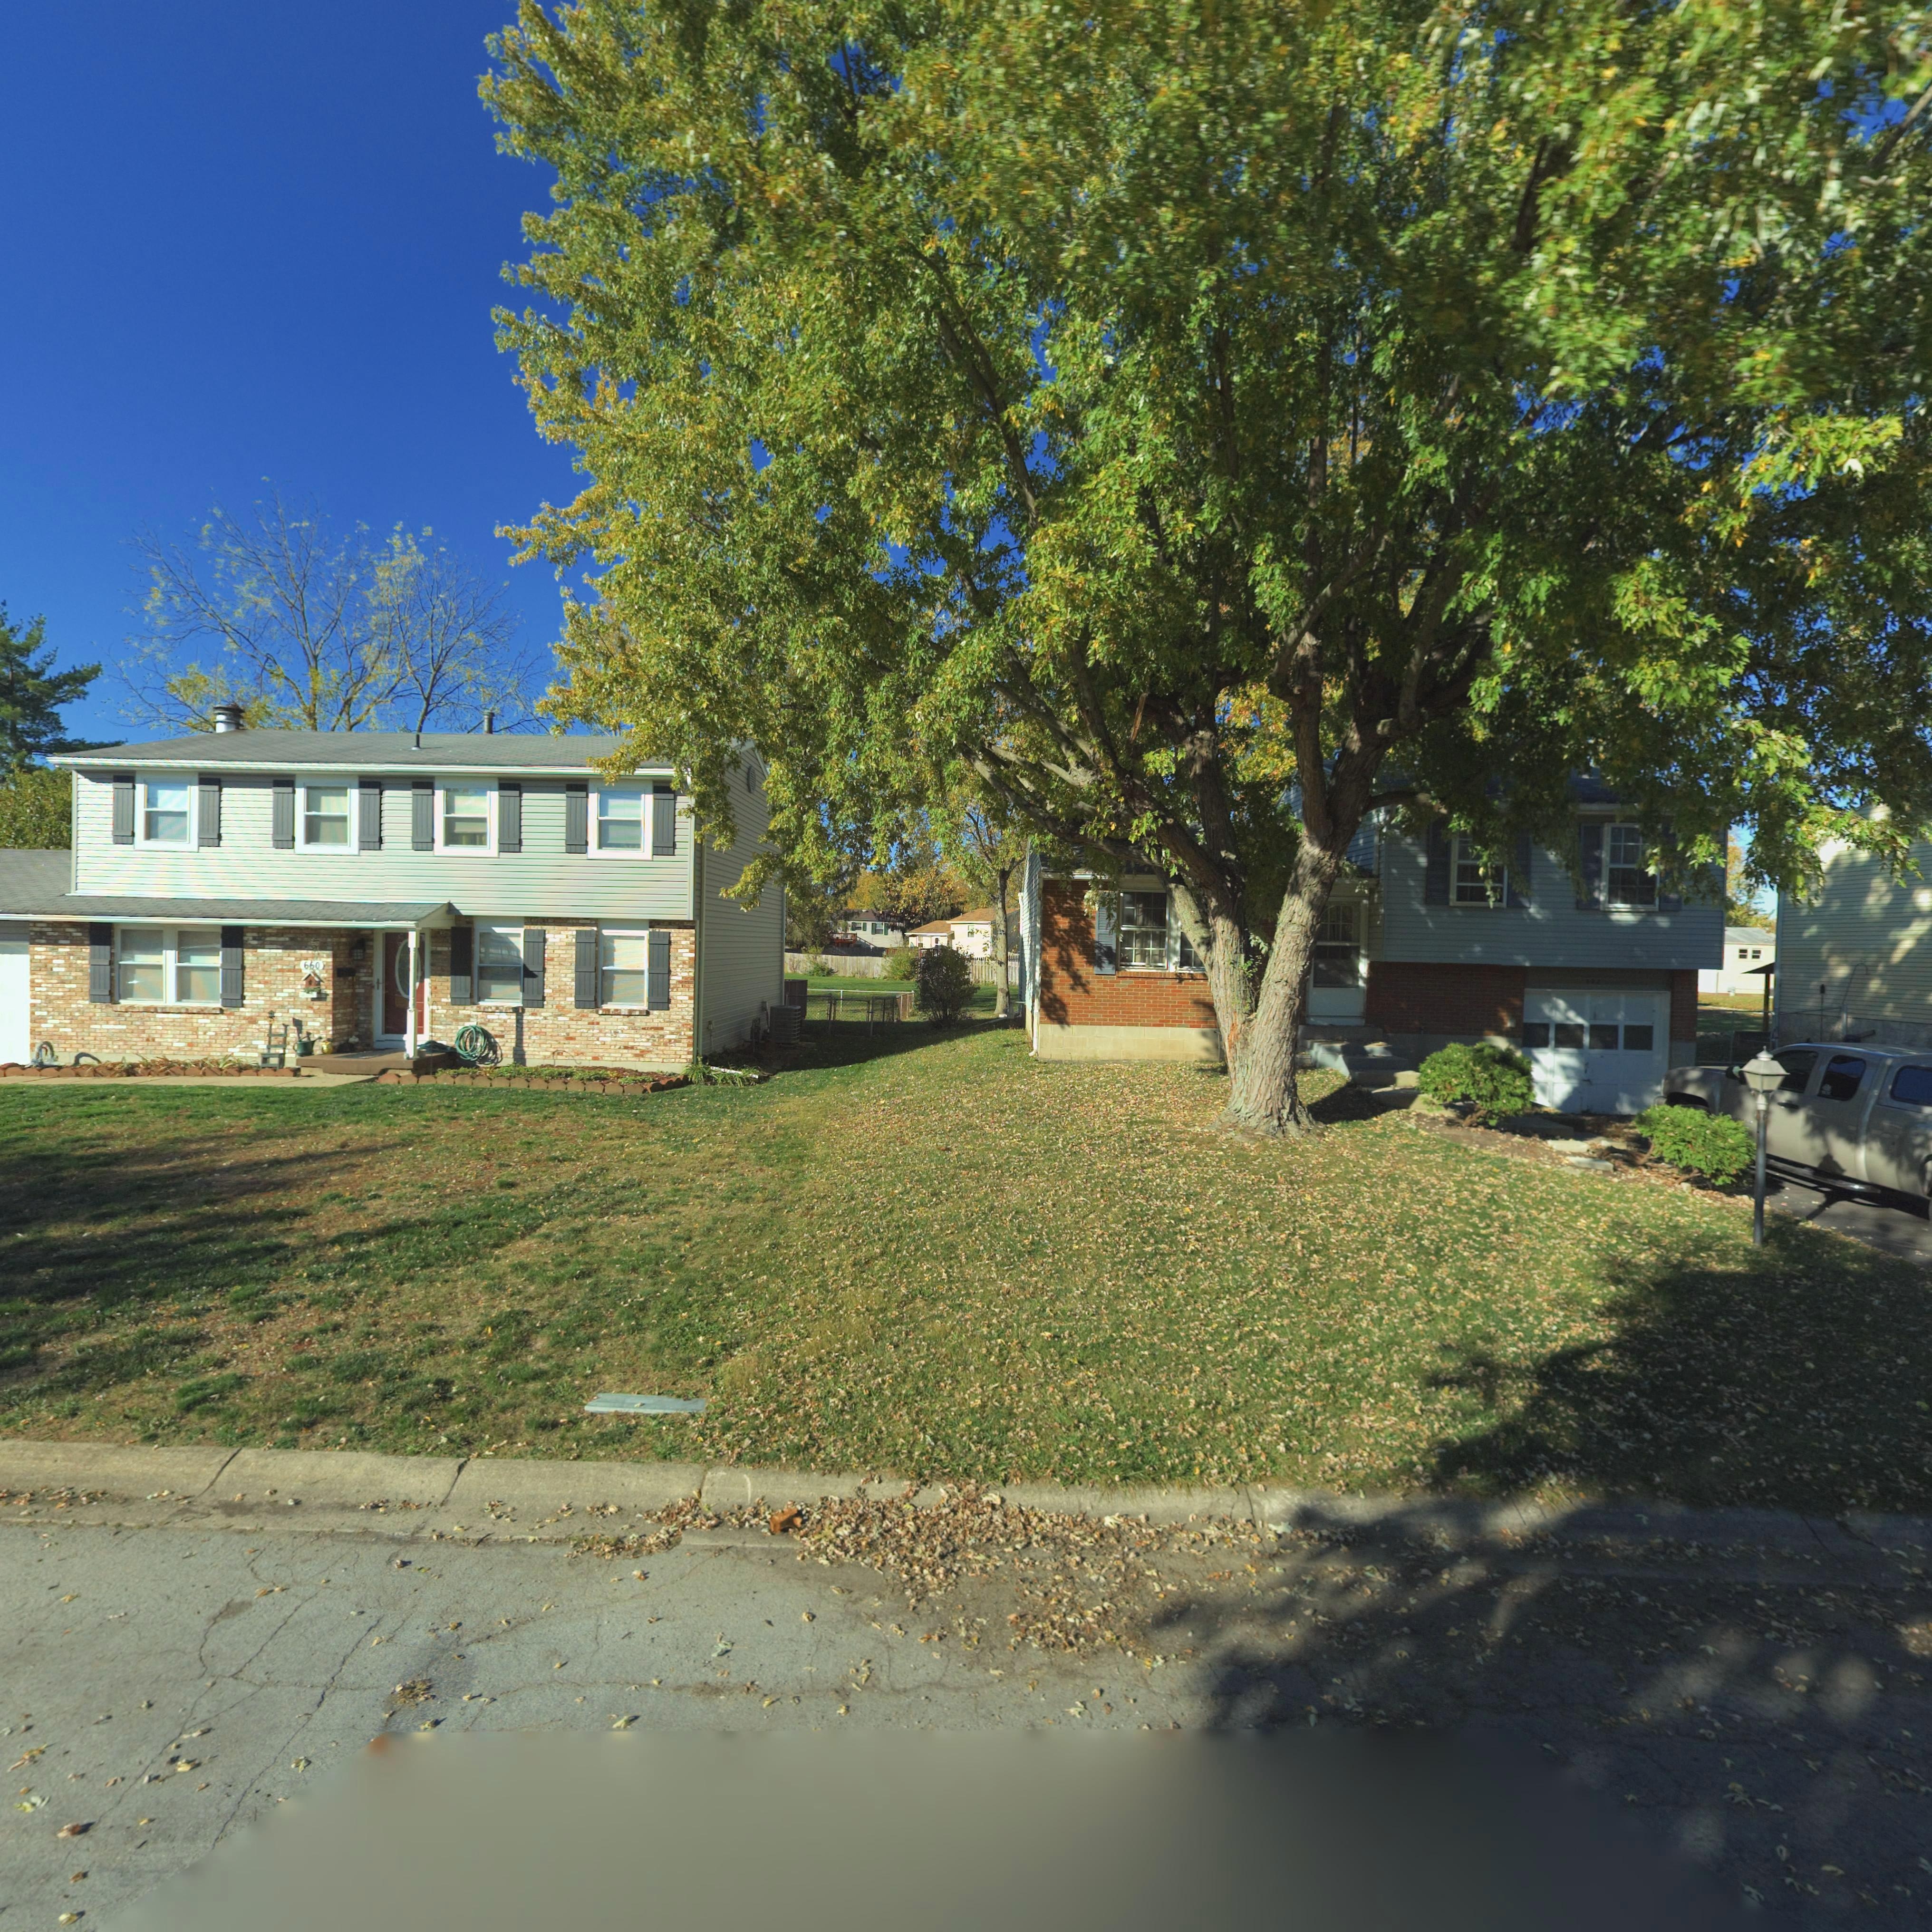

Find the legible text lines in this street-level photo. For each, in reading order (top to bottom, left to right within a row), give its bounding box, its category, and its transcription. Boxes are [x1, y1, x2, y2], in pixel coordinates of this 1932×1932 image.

[303, 961, 320, 970] StreetNumber: 660